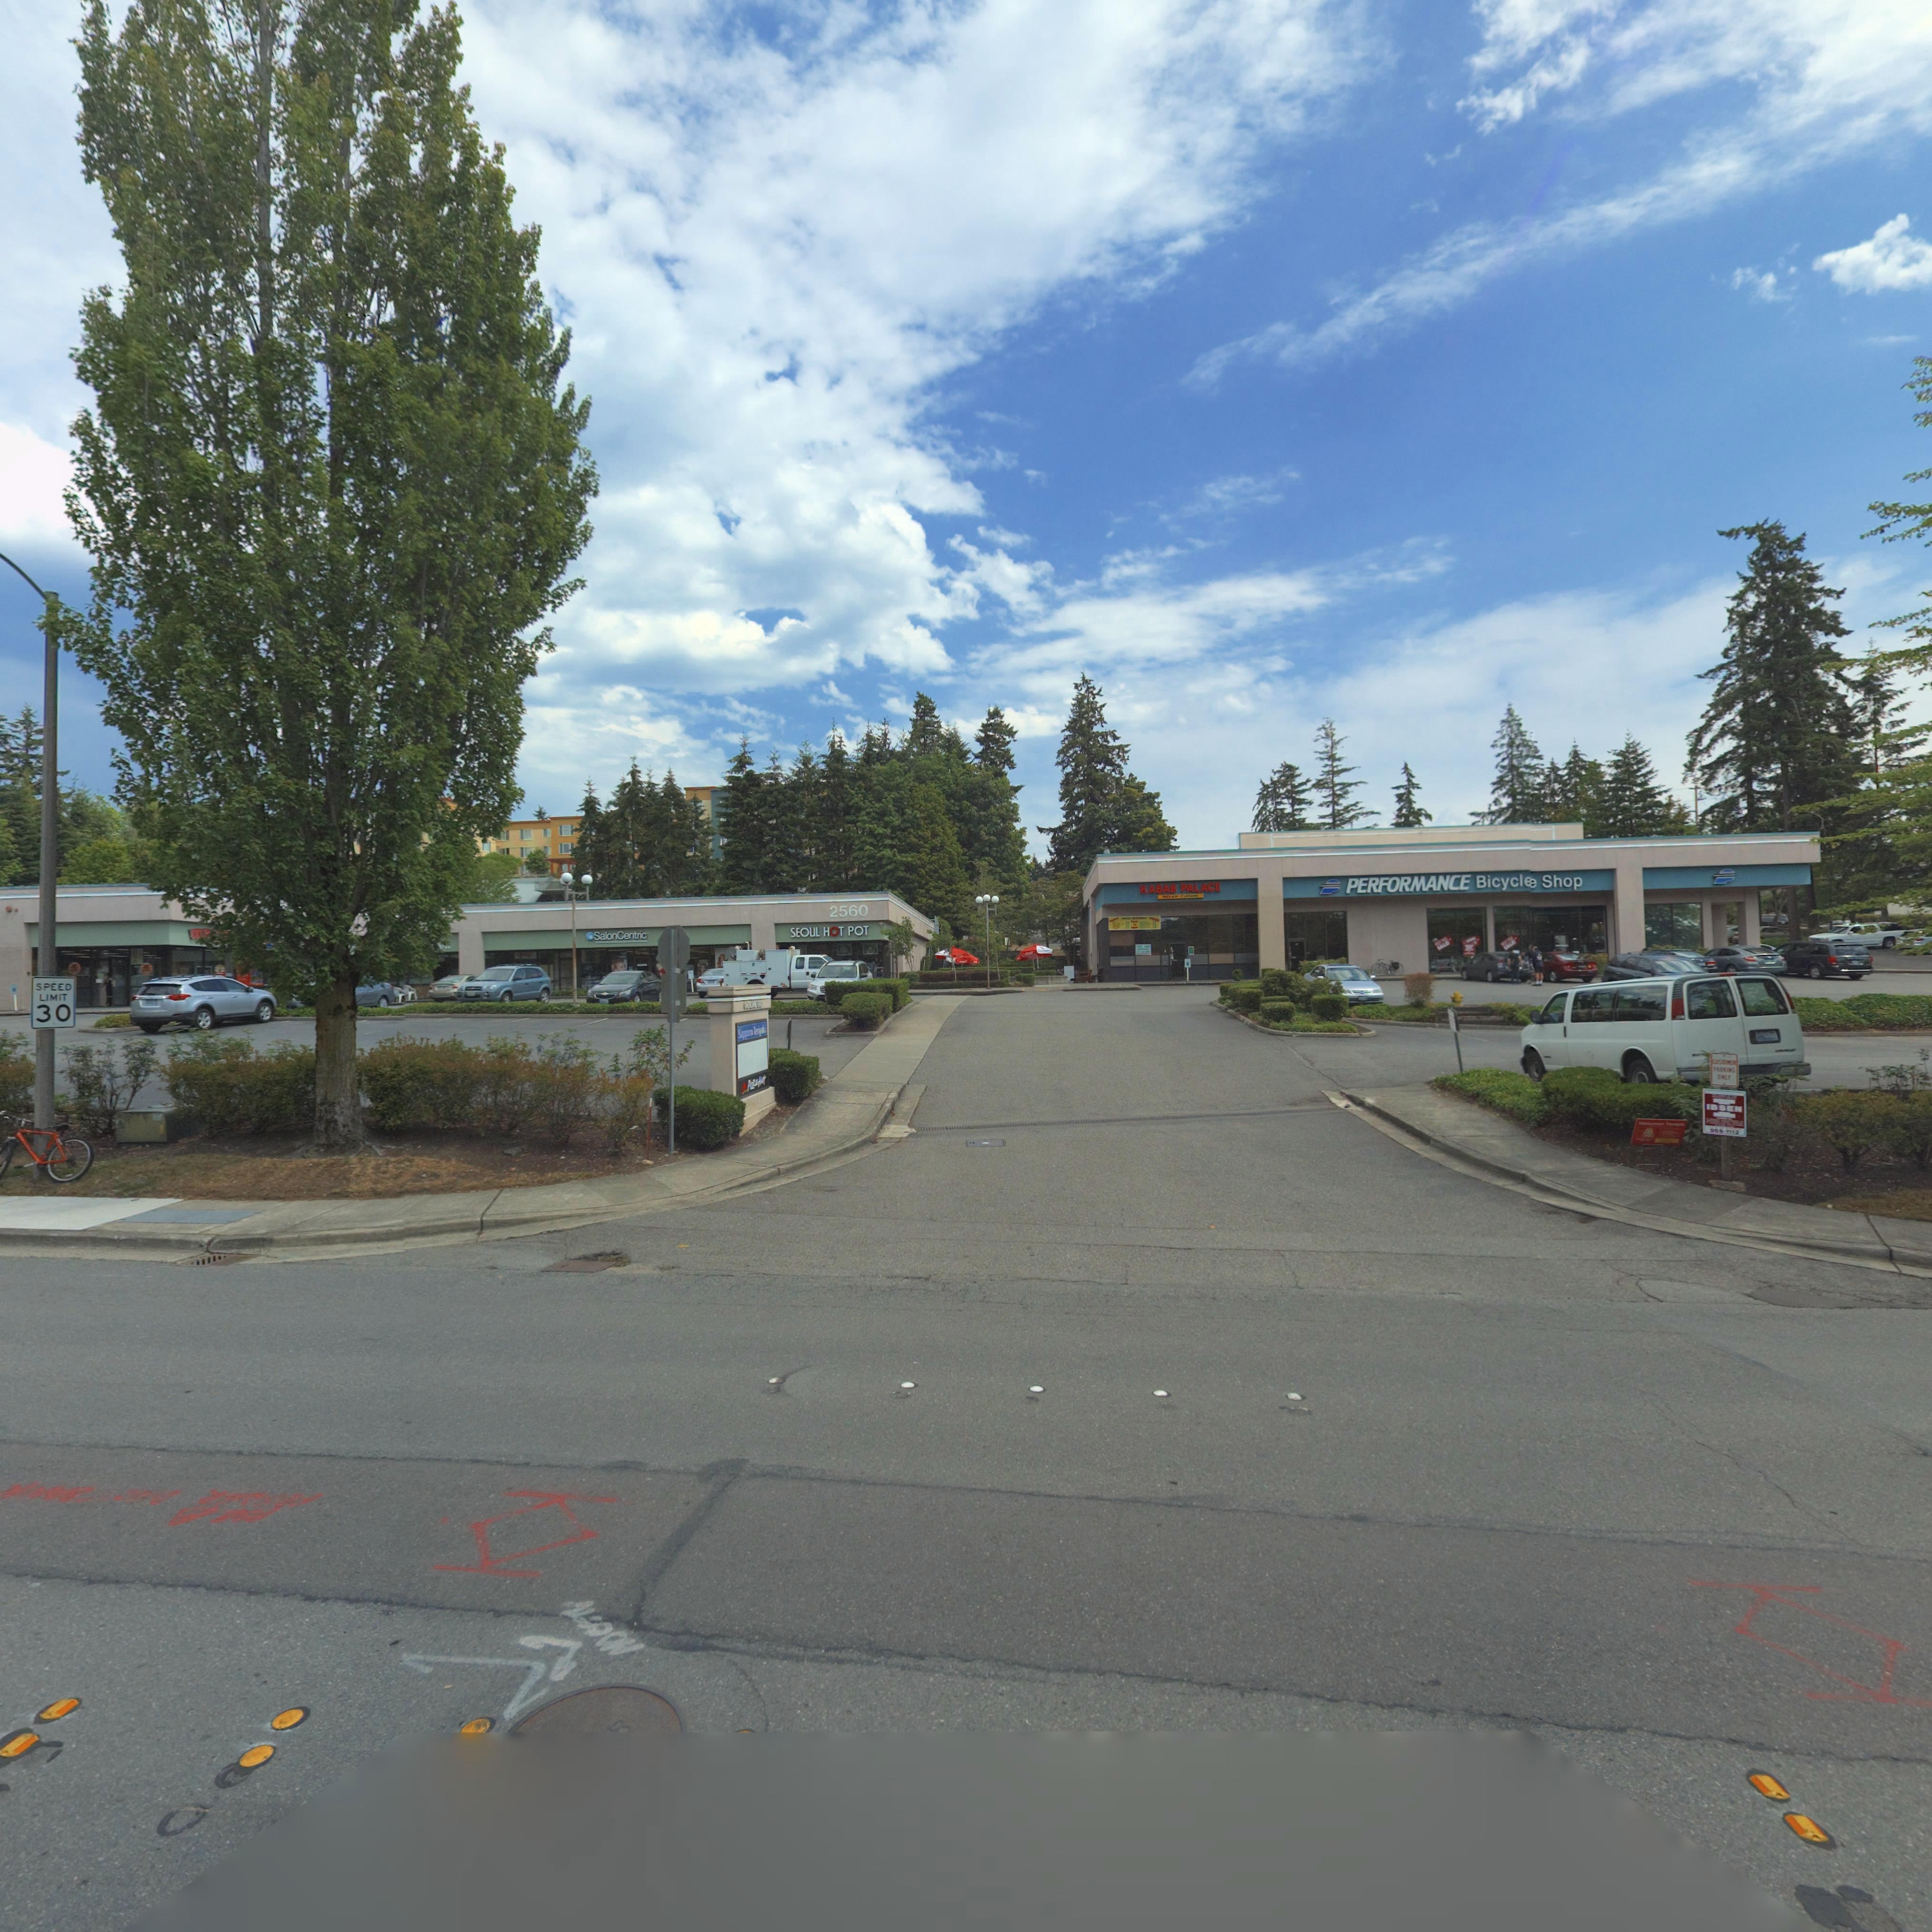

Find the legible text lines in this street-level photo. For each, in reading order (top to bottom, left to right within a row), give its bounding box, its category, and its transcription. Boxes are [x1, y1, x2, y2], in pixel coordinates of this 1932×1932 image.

[1139, 881, 1222, 895] BusinessName: KABAB PALACE
[1344, 873, 1586, 894] BusinessName: PERFORMANCE Bicycl* Shop
[830, 905, 868, 918] StreetNumber: 2560
[594, 930, 647, 940] BusinessName: SalonCentric
[790, 925, 871, 938] BusinessName: SEOUL HOT POT
[746, 1074, 766, 1092] BusinessName: Pizz* **t